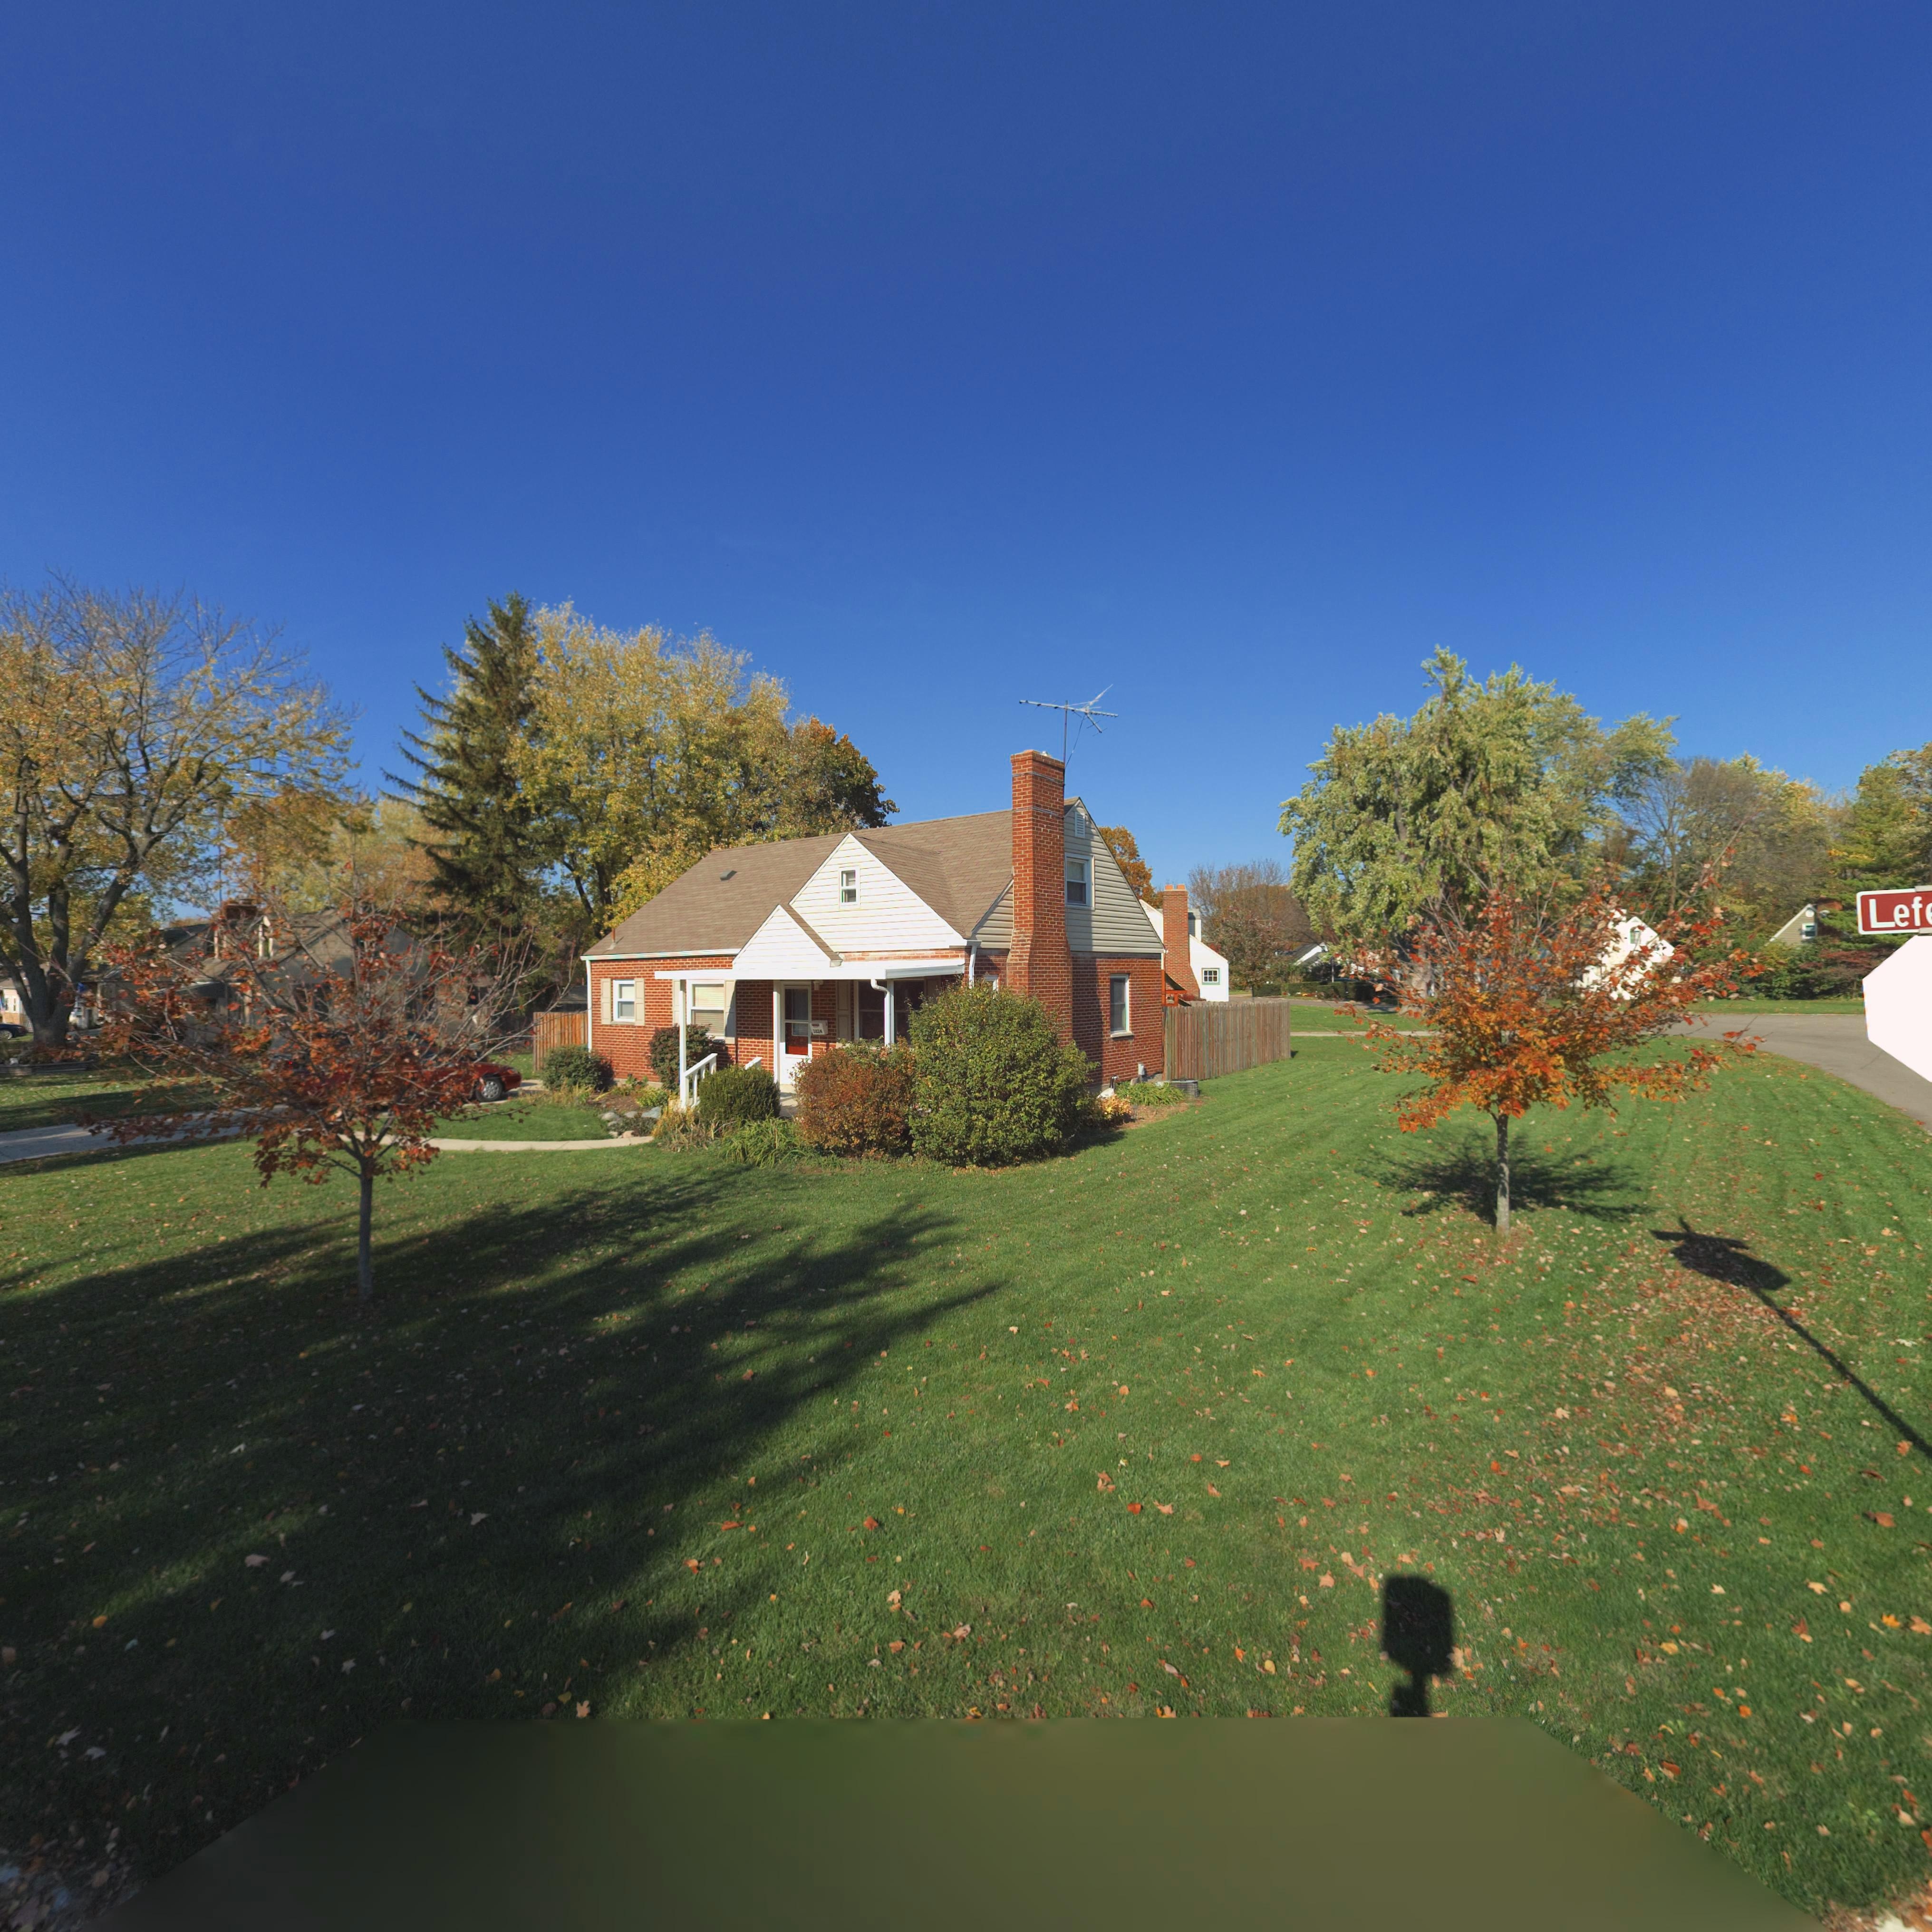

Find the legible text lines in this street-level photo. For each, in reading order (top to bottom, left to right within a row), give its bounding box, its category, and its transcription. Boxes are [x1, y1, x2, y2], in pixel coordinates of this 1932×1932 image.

[1867, 895, 1923, 929] StreetName: Lef